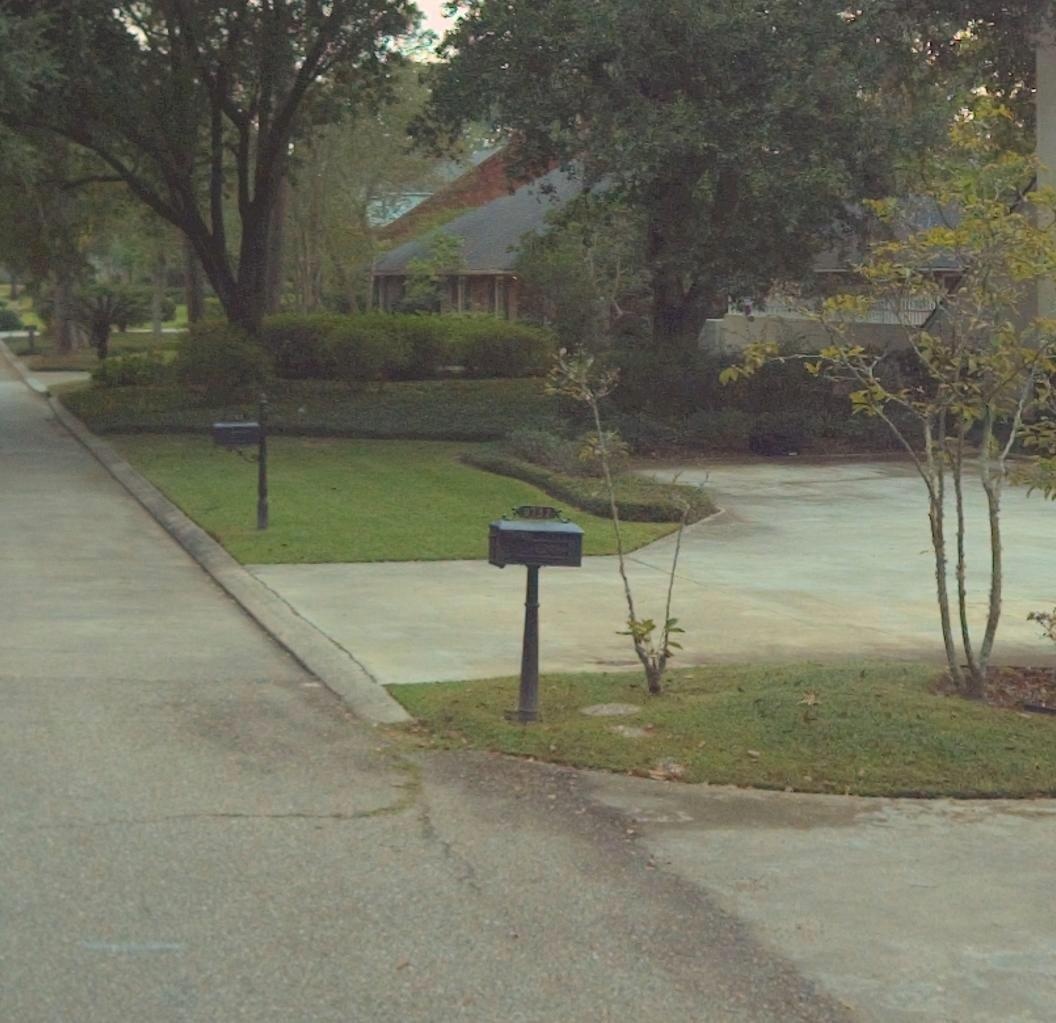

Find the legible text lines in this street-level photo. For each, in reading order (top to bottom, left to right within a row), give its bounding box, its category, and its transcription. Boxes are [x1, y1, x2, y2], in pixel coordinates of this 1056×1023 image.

[523, 507, 552, 517] StreetNumber: 8732